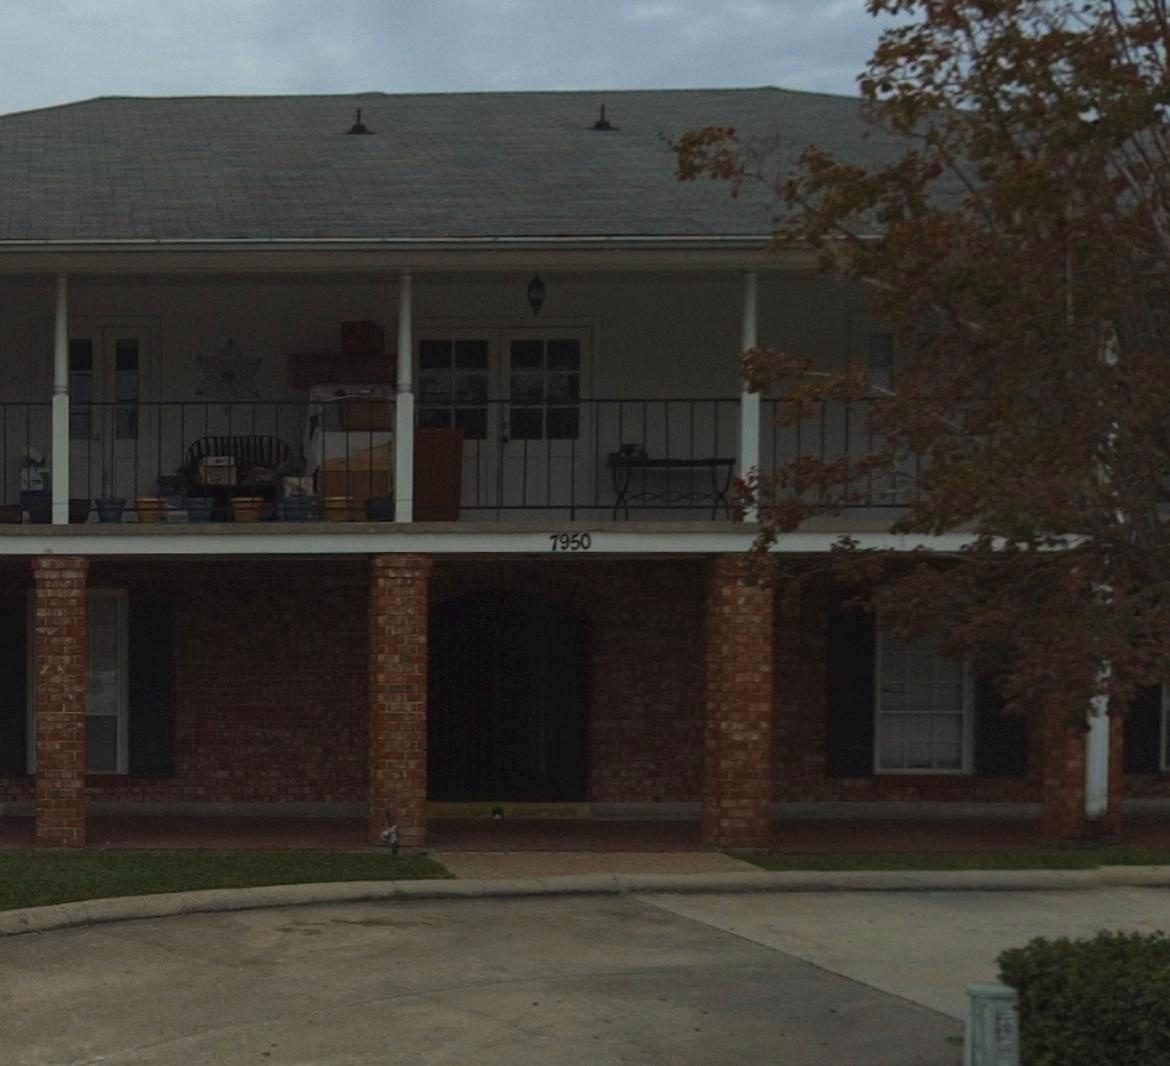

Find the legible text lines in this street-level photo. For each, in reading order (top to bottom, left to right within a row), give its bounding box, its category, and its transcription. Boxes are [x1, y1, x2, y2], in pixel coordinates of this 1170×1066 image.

[549, 531, 593, 552] StreetNumber: 7950